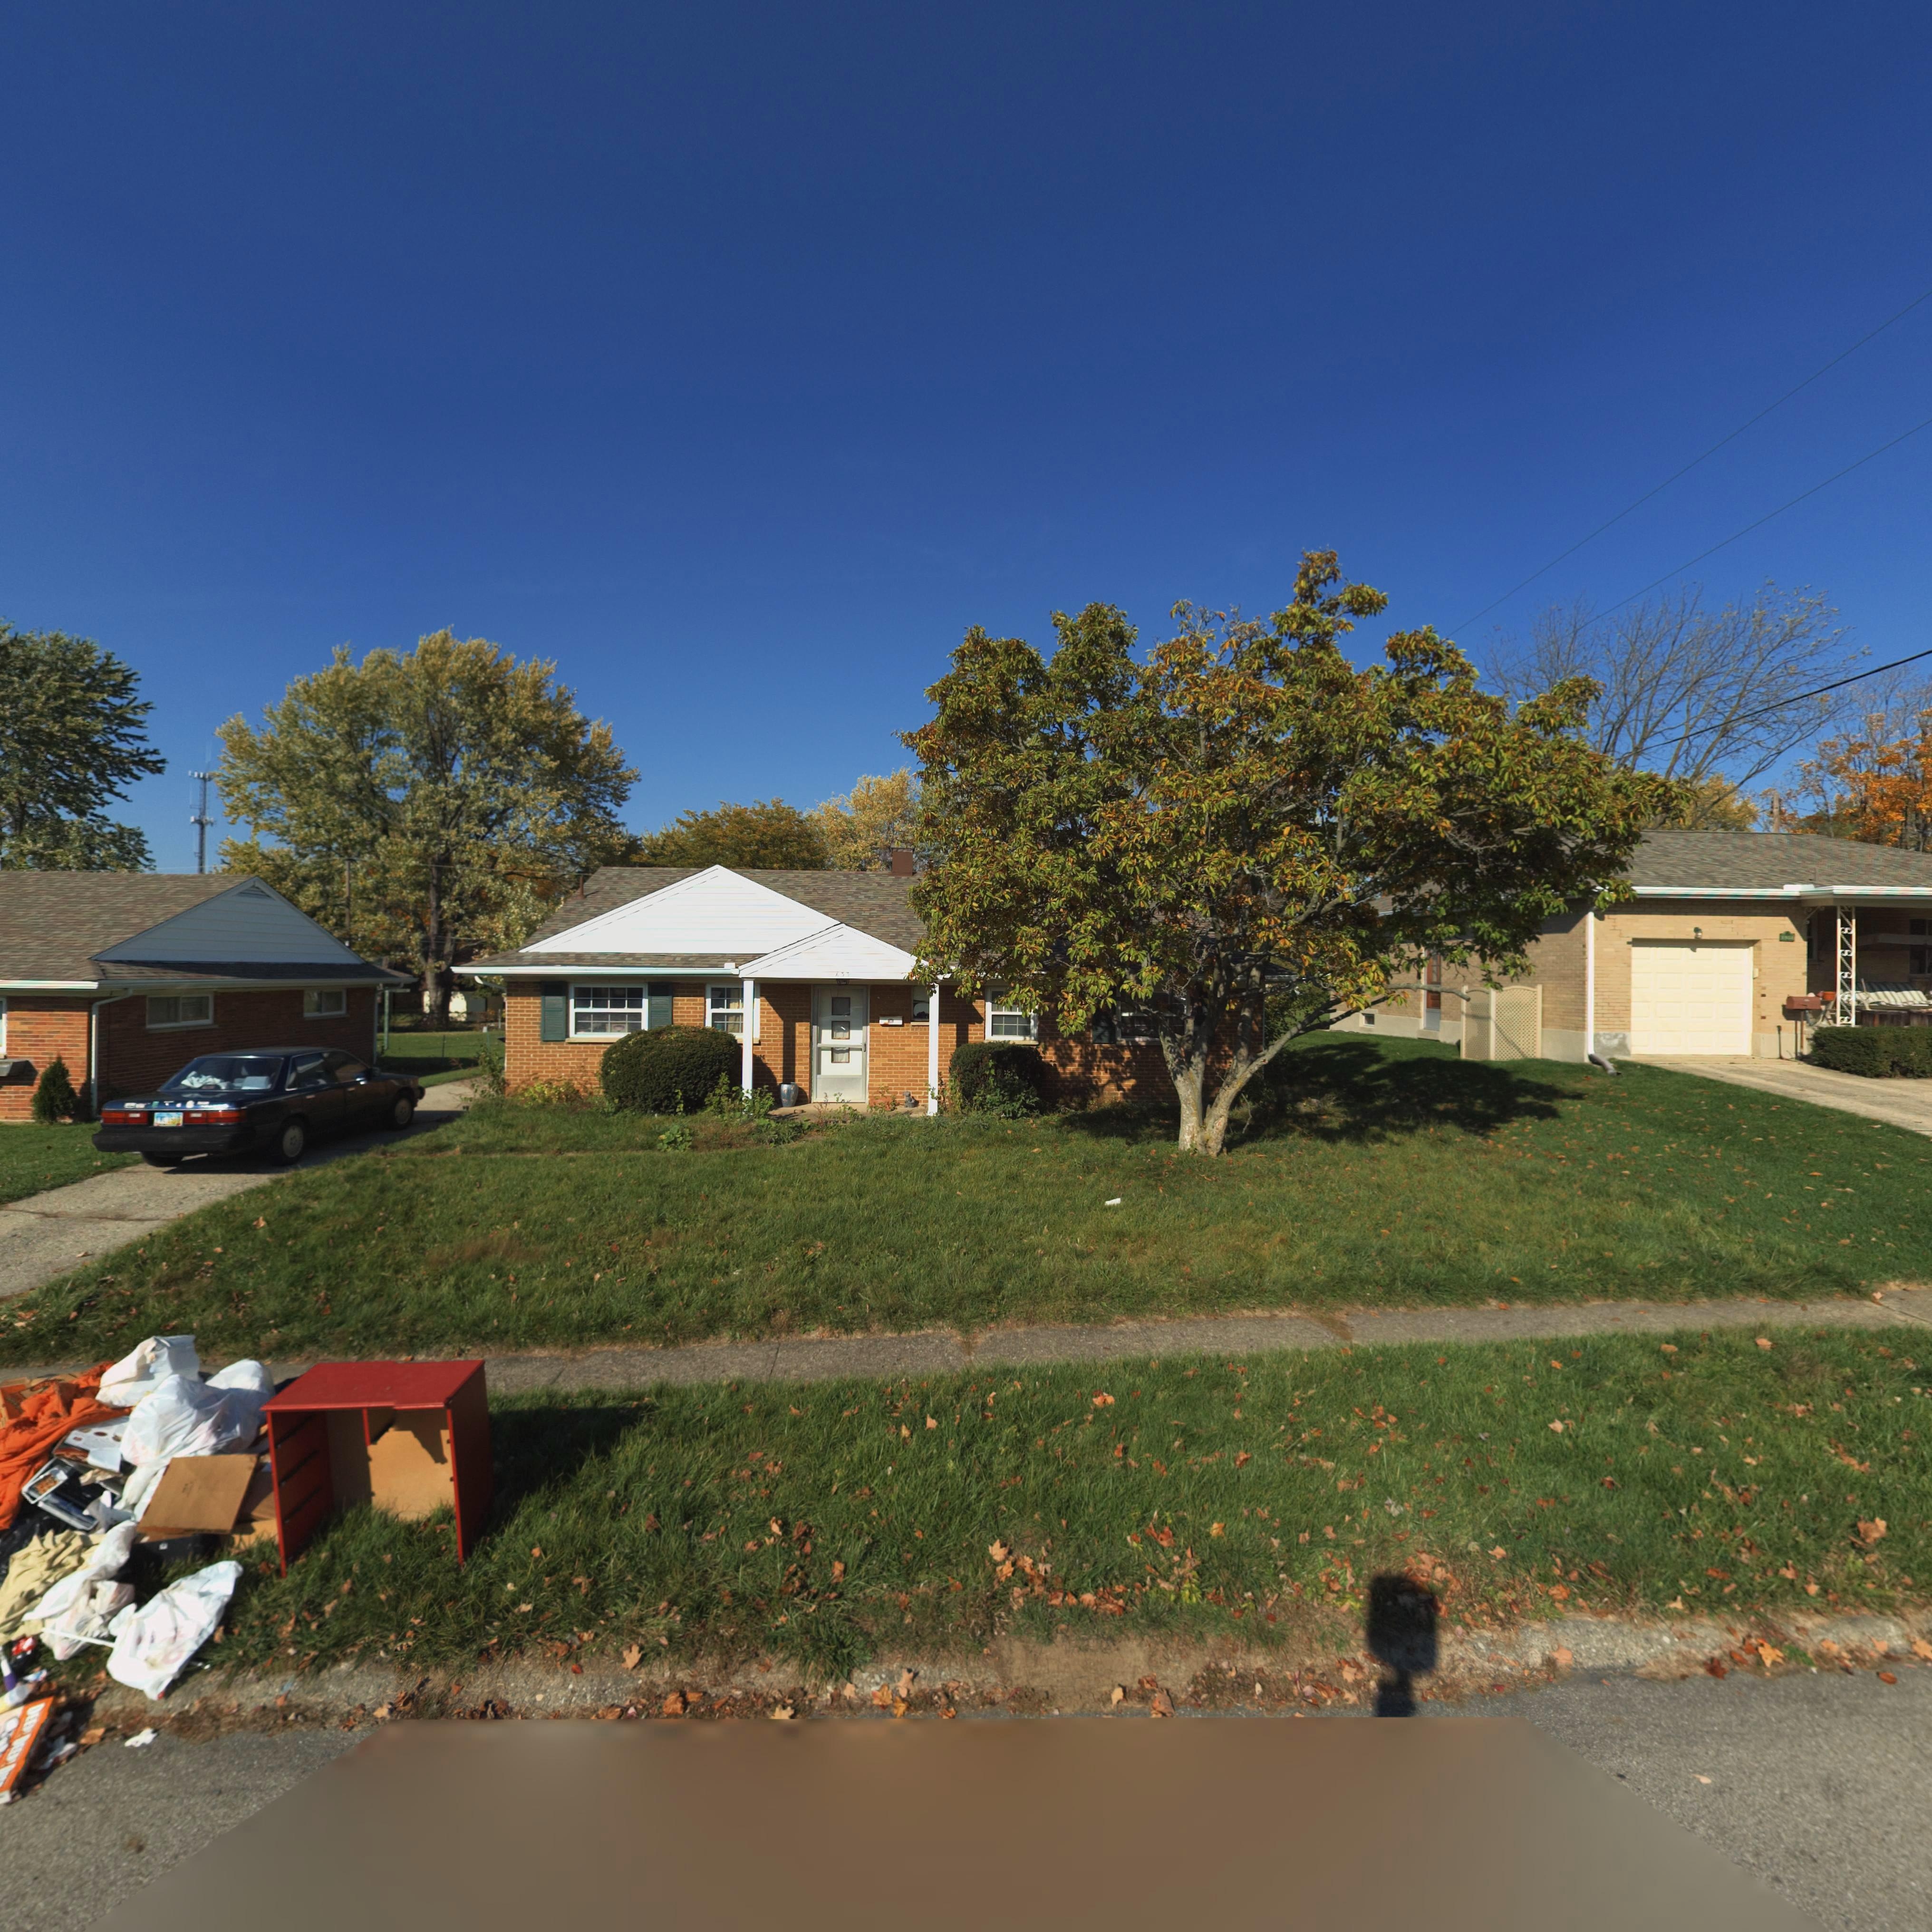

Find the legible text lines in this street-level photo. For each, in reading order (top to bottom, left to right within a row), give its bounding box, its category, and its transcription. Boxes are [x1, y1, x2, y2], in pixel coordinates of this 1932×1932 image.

[835, 972, 850, 978] StreetNumber: 633